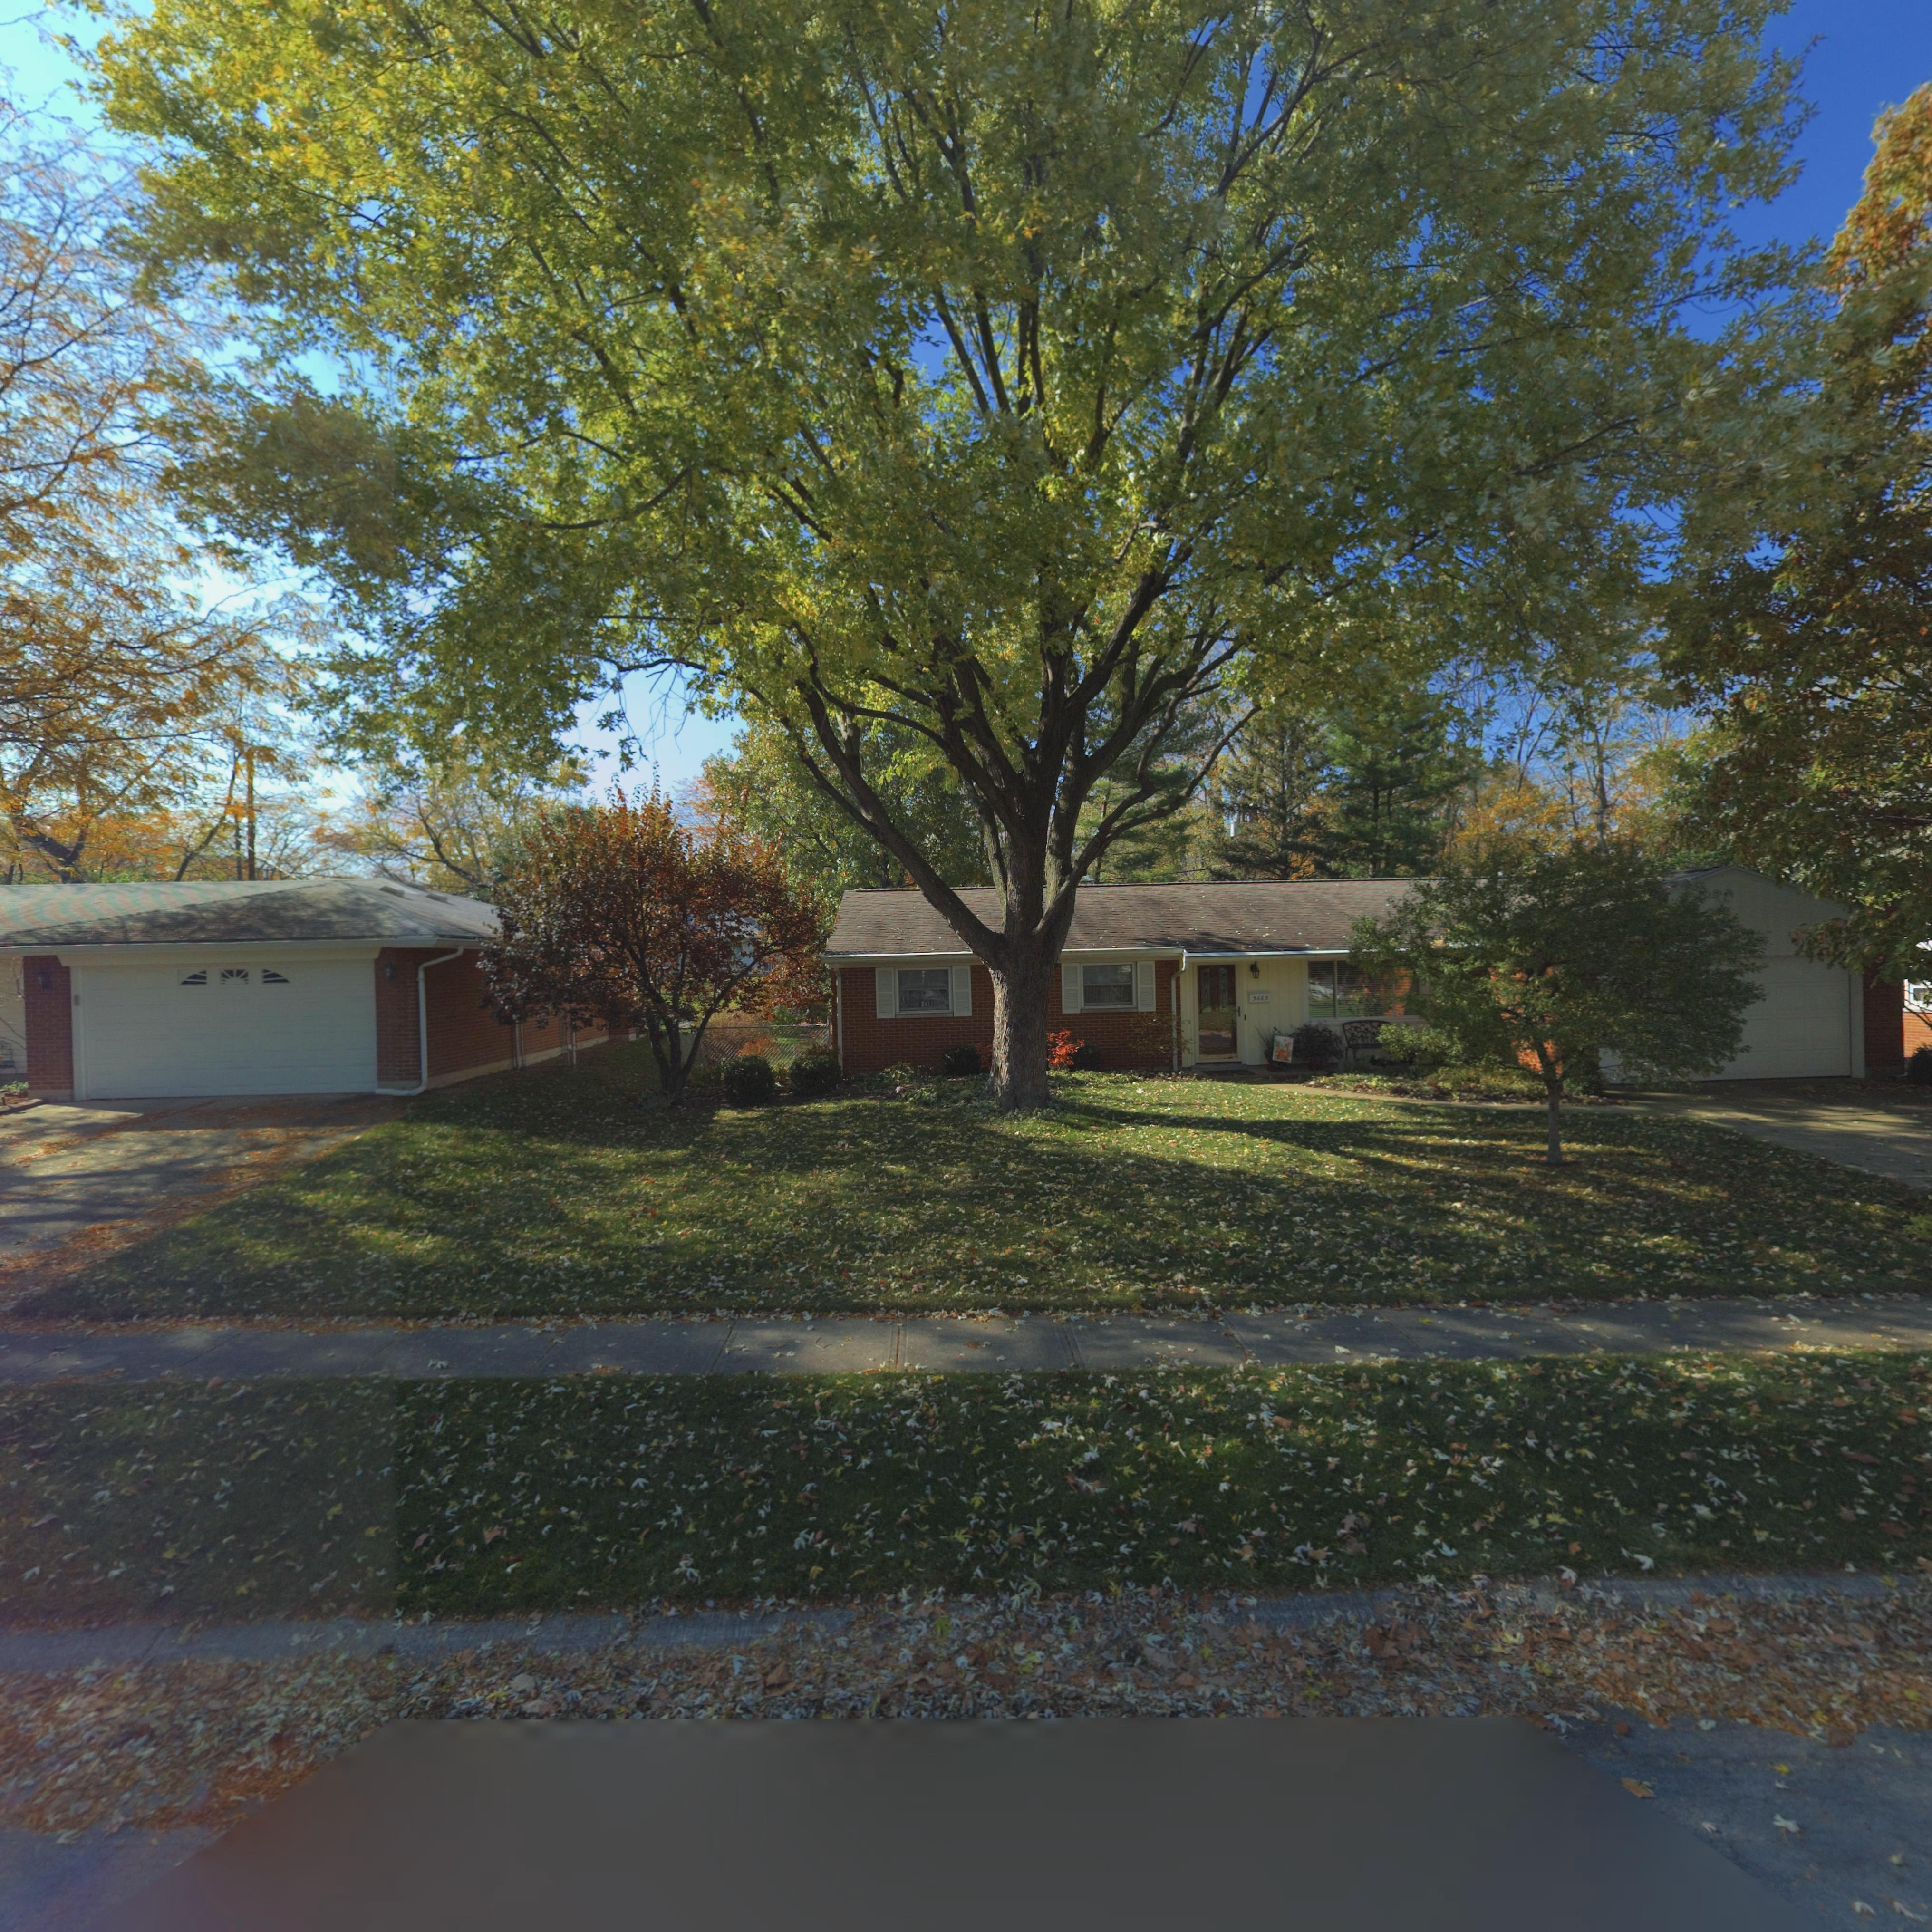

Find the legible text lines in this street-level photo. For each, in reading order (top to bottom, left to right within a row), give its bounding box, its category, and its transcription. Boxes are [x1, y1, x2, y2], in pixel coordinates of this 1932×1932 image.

[1251, 994, 1270, 1002] StreetNumber: 3665